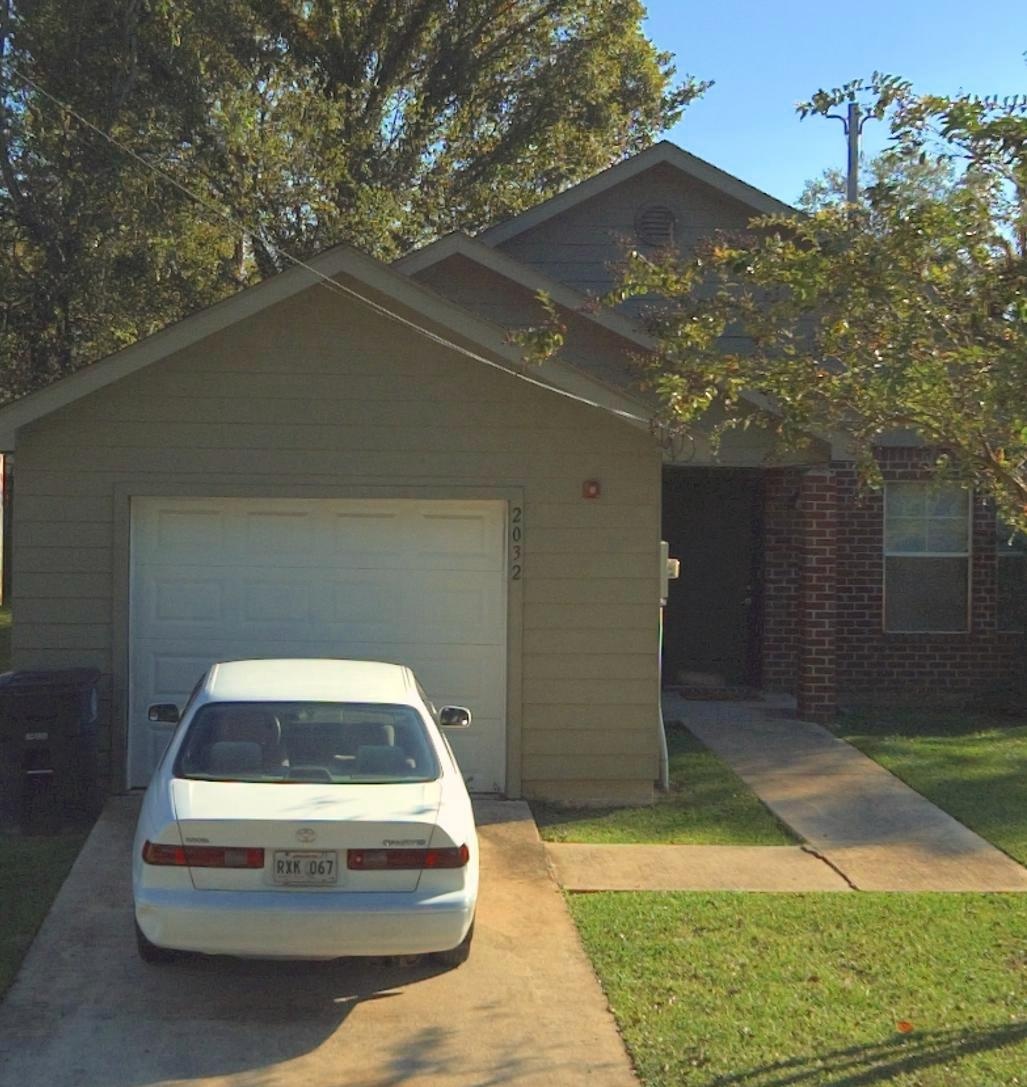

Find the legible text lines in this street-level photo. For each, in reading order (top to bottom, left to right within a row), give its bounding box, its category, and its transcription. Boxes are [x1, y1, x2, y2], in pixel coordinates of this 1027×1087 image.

[509, 505, 523, 583] StreetNumber: 2032
[275, 858, 335, 875] None: RXK*067